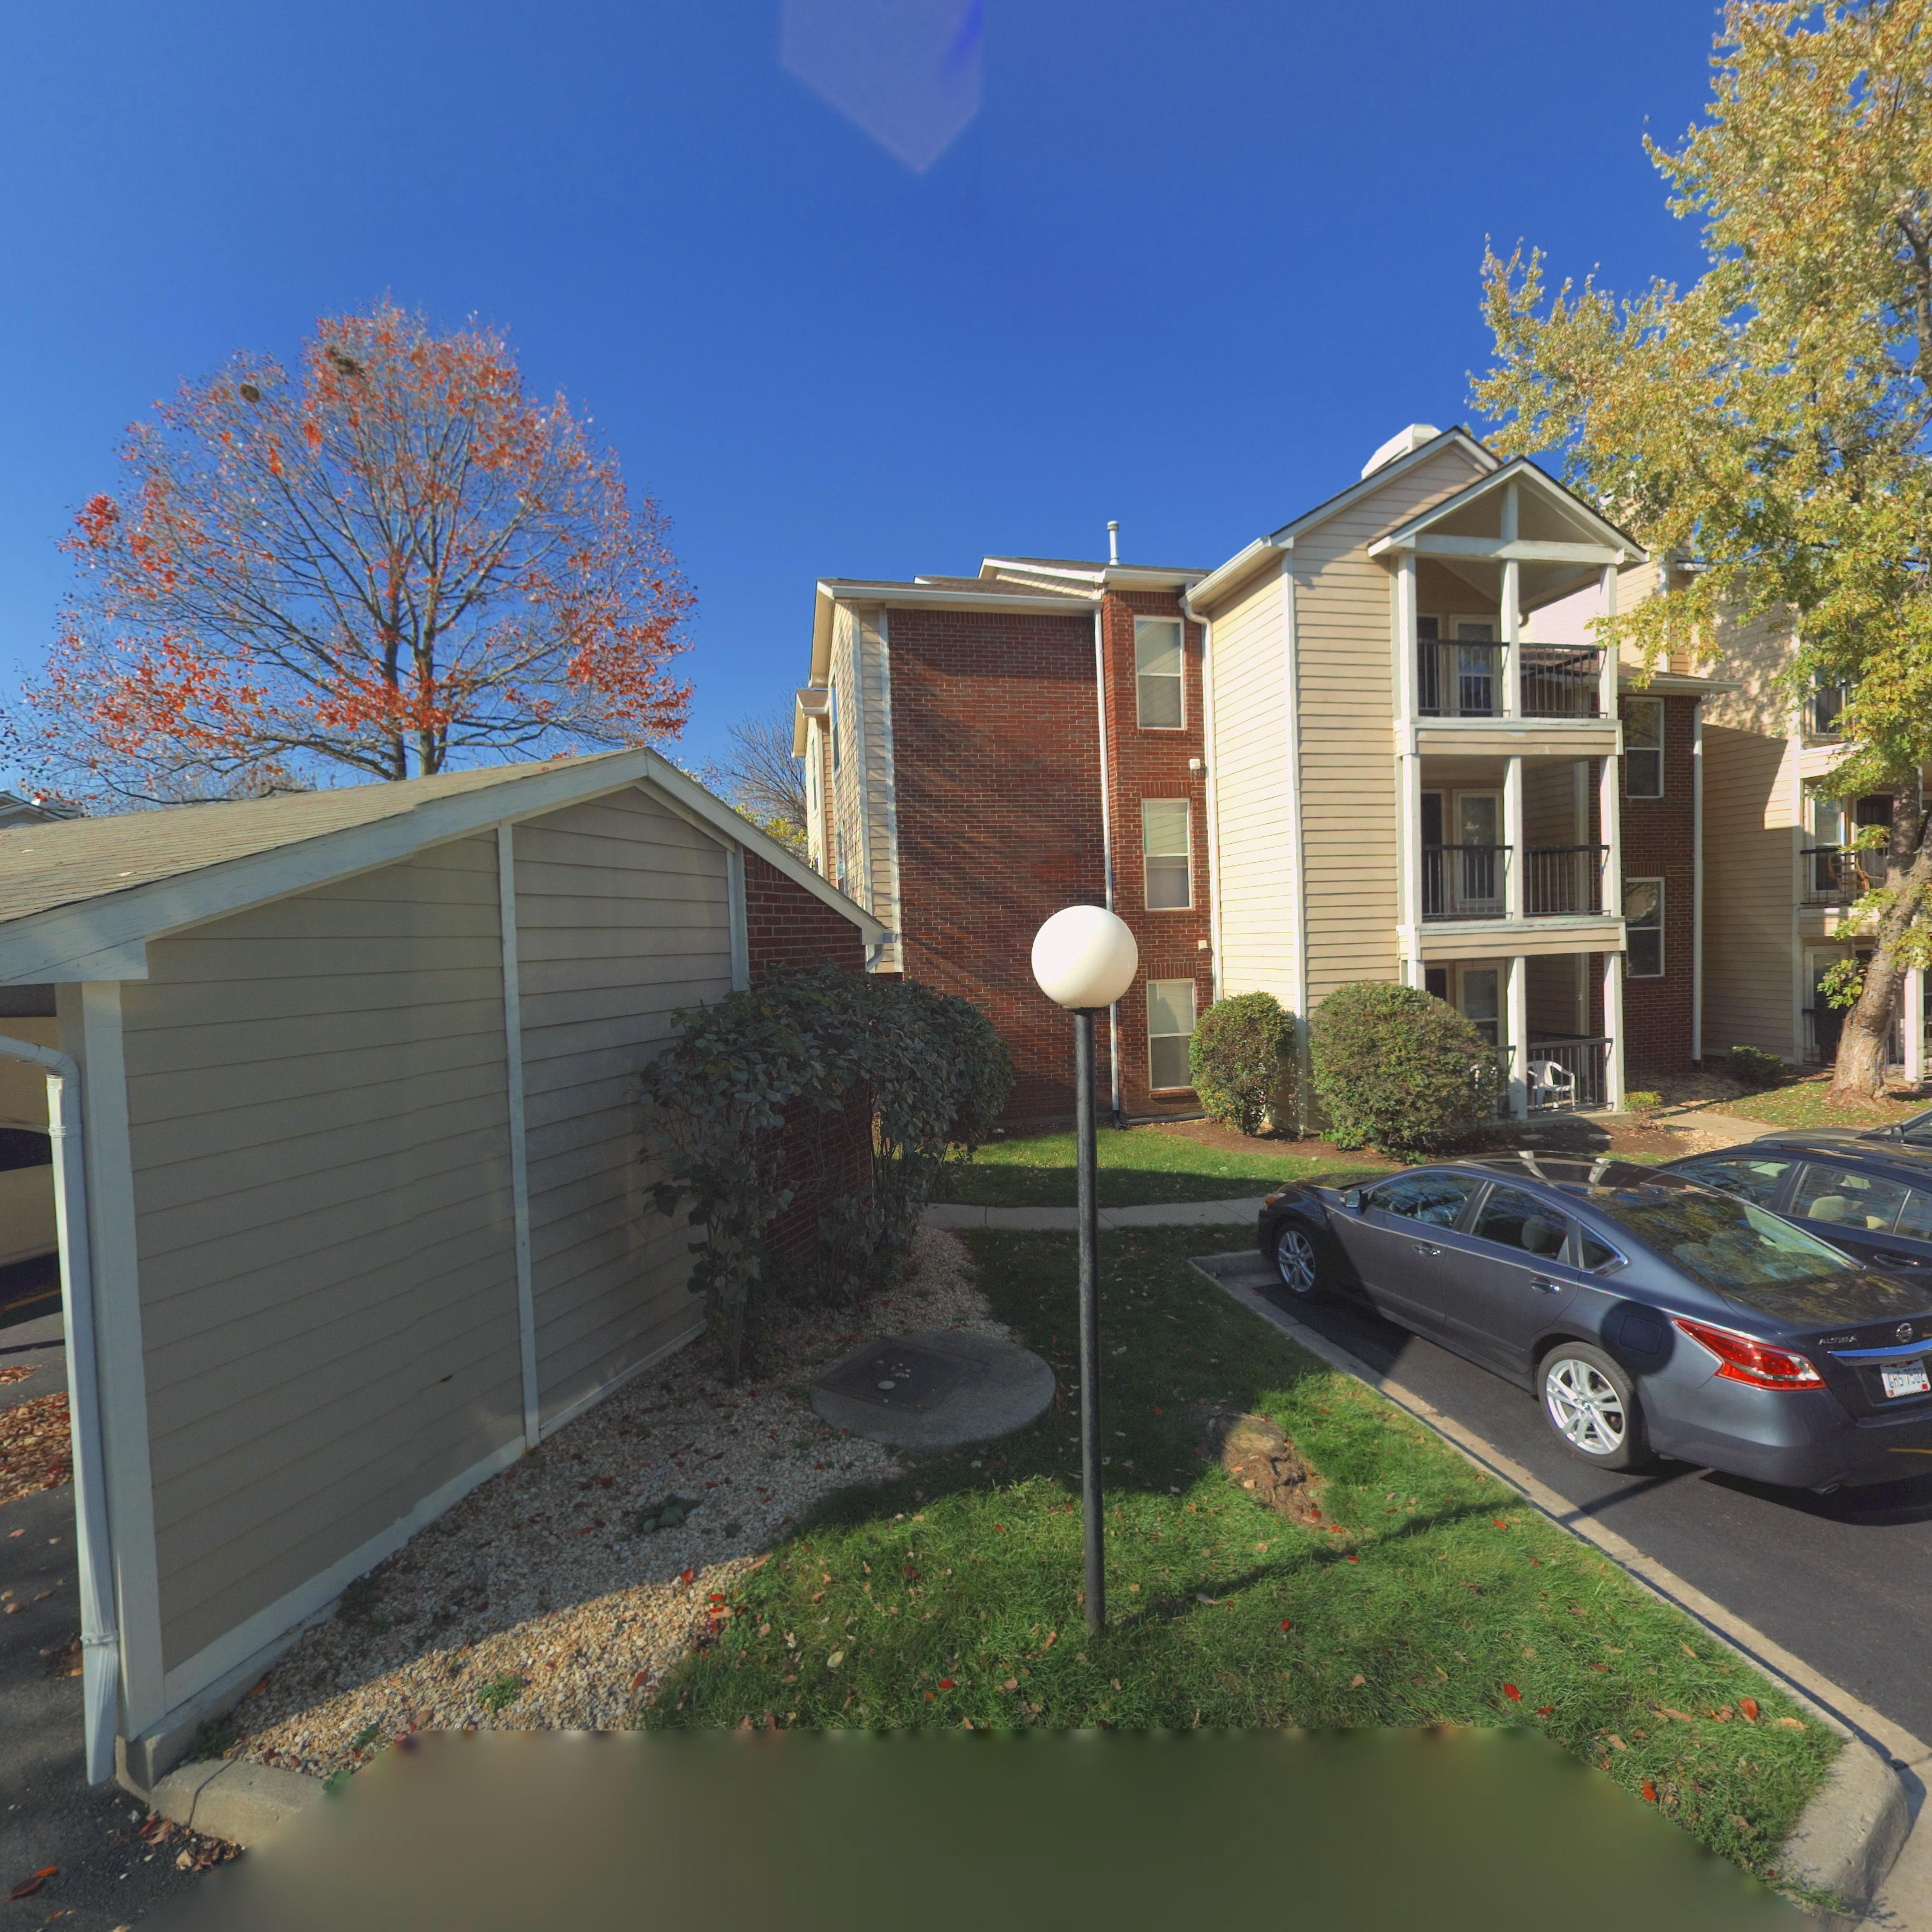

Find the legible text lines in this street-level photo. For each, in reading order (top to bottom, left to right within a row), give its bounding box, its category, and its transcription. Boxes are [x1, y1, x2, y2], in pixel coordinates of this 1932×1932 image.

[1816, 1336, 1839, 1346] None: ALT
[1883, 1364, 1927, 1391] None: GHS 7502